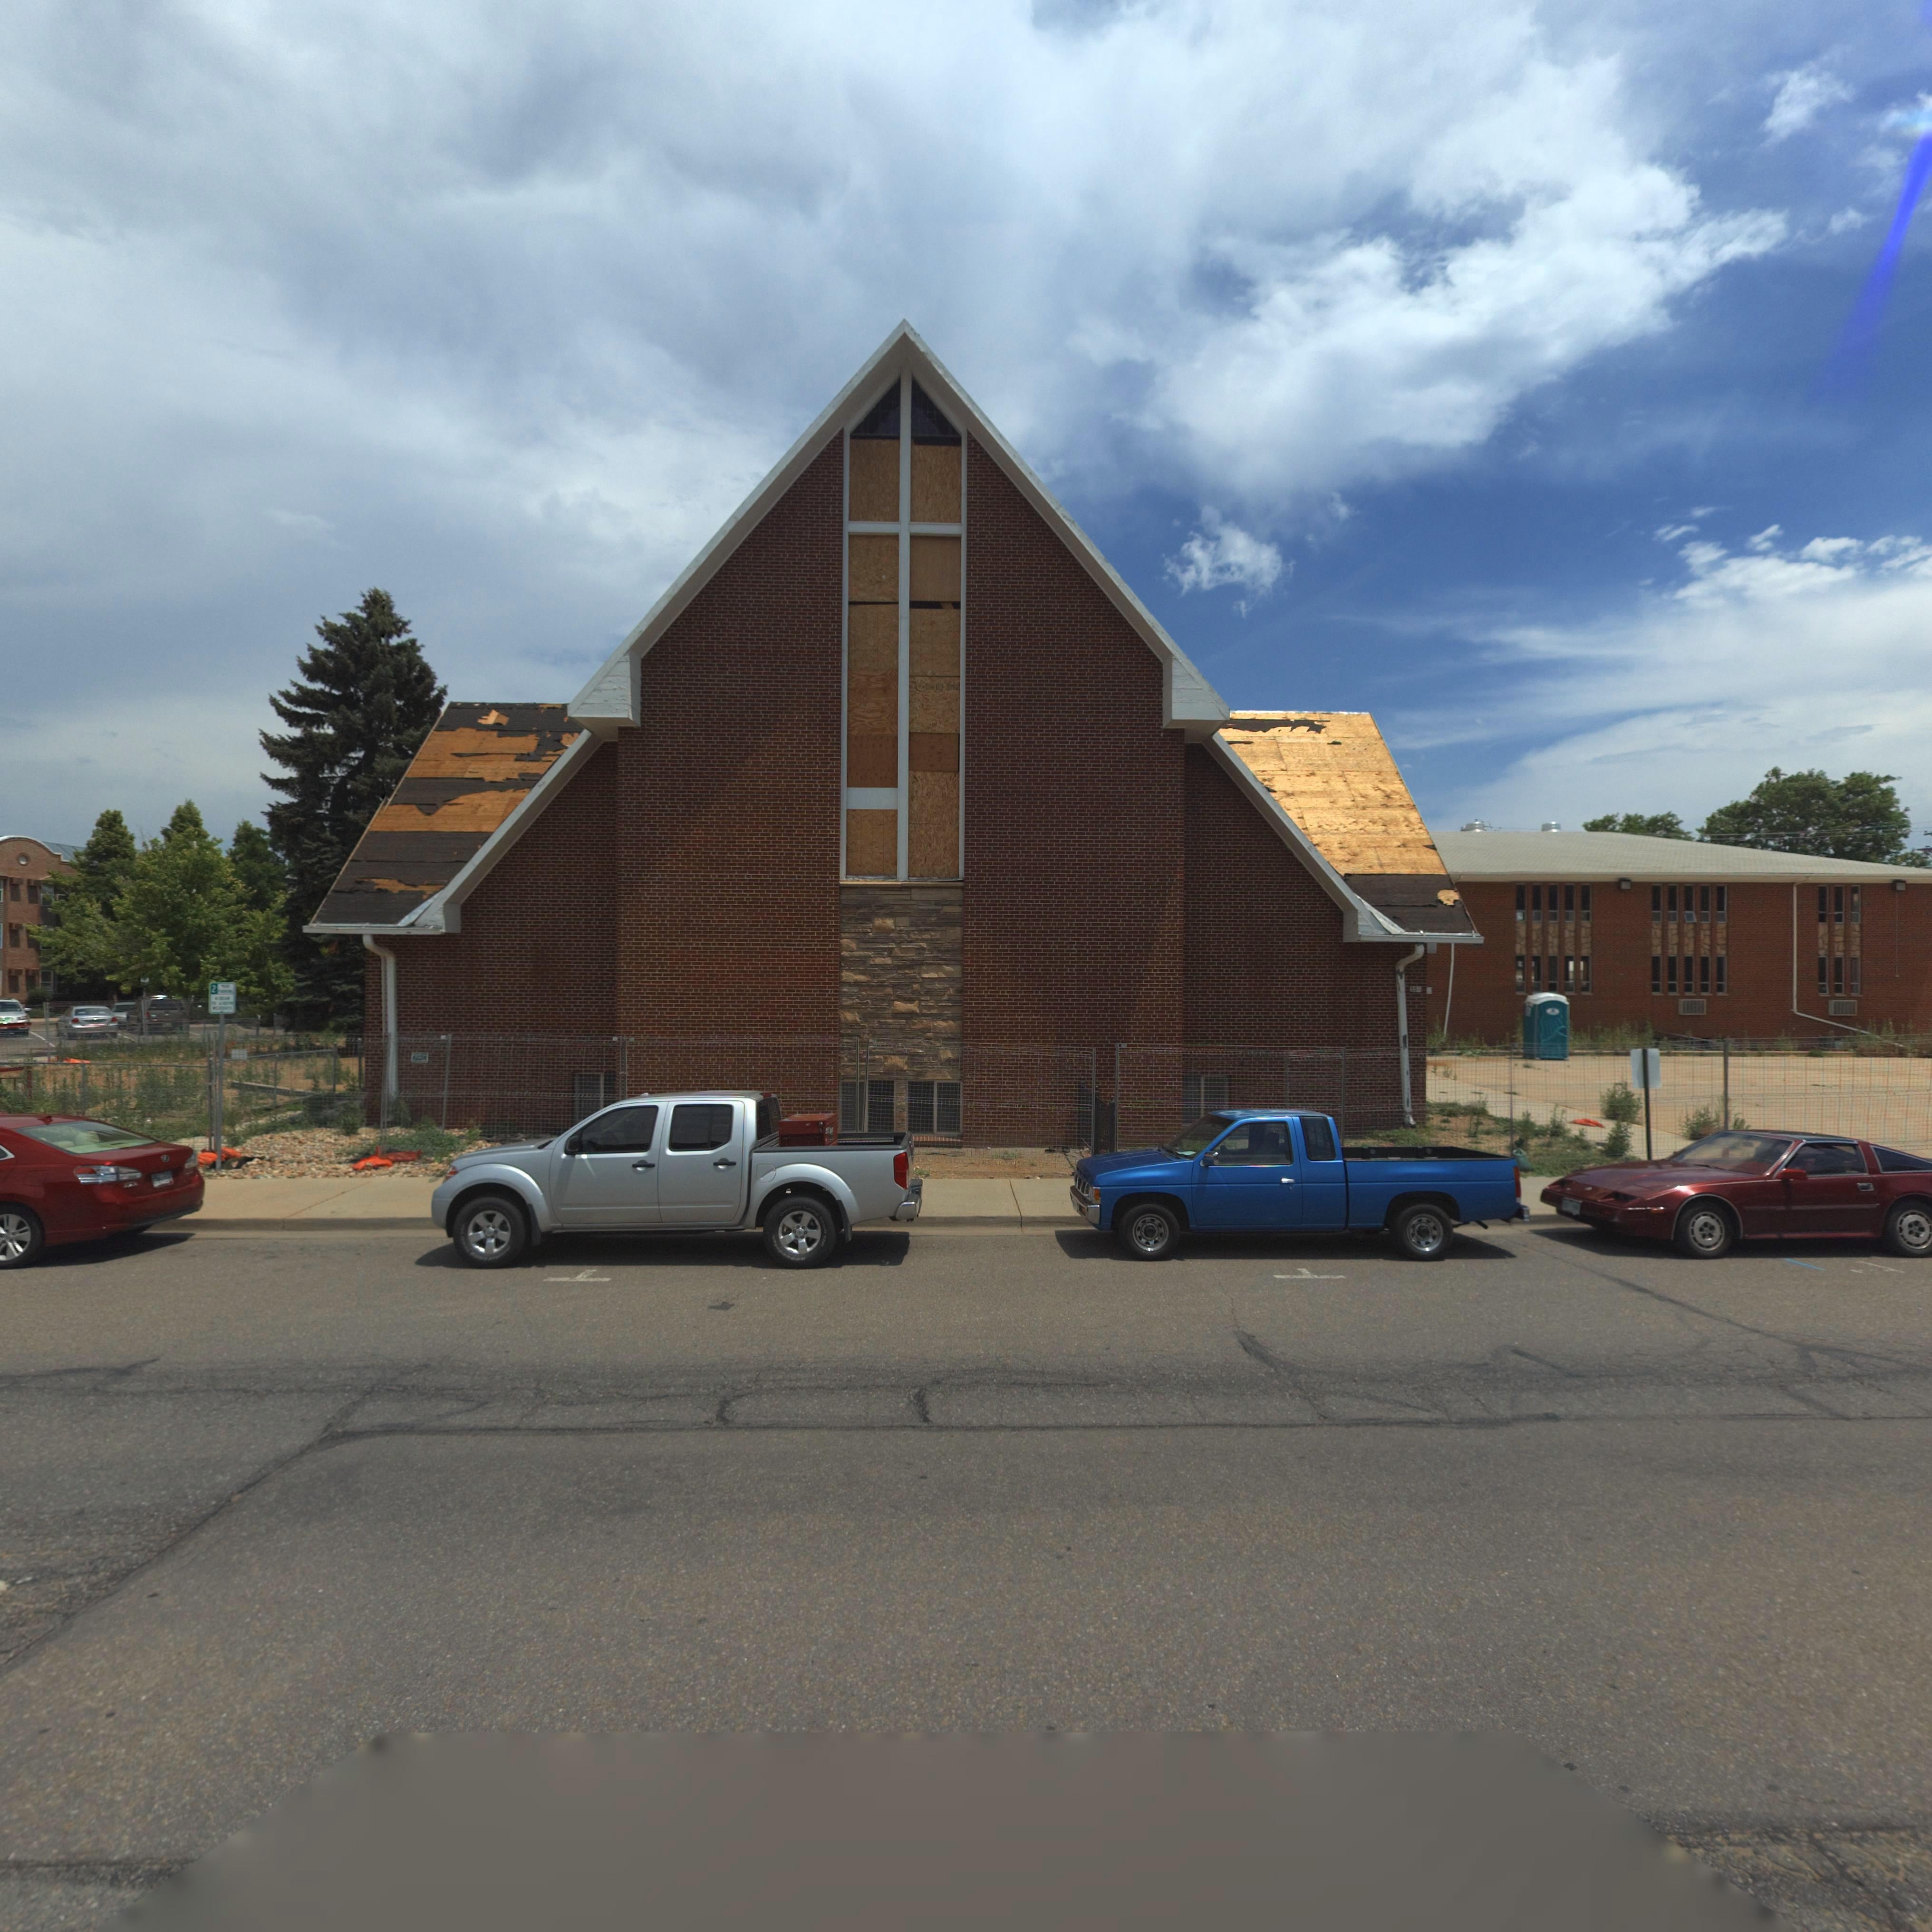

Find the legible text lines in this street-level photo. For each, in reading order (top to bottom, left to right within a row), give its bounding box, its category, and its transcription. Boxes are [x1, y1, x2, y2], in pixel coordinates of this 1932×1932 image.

[1410, 986, 1420, 991] StreetNumber: 550